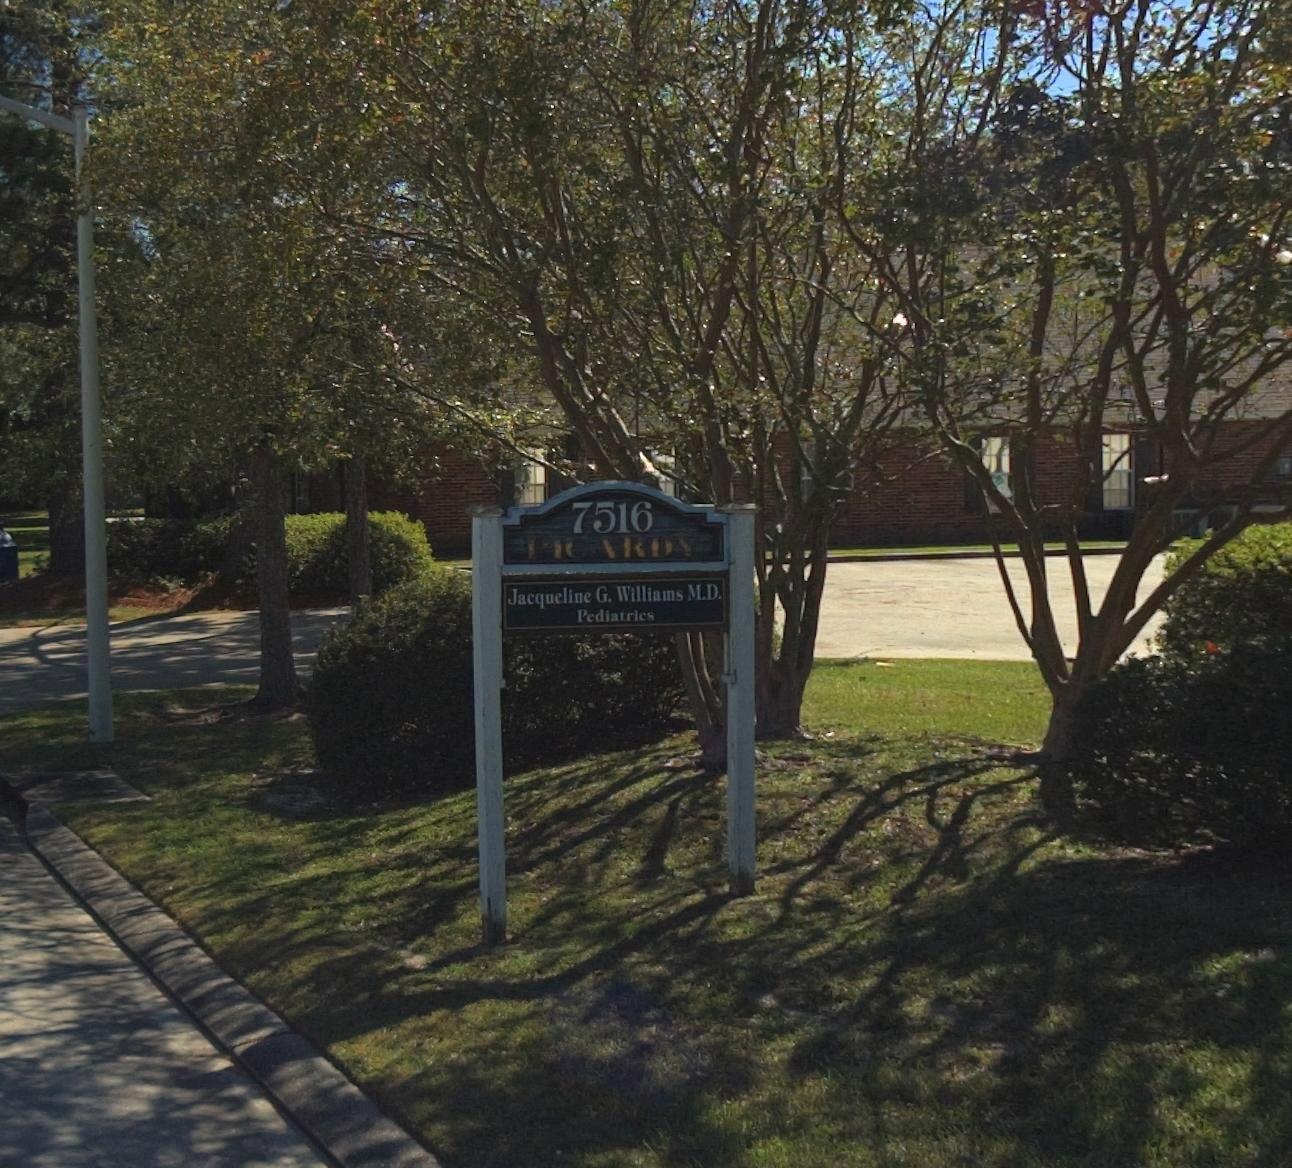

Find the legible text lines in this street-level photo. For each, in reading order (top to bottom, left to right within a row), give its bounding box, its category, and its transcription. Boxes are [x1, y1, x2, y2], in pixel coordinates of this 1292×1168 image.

[571, 499, 655, 535] StreetNumber: 7516
[525, 531, 700, 562] BusinessName: PICARDY
[506, 582, 724, 611] None: Jacqueline G. Williams M.D.
[576, 607, 657, 625] None: Pediatrics